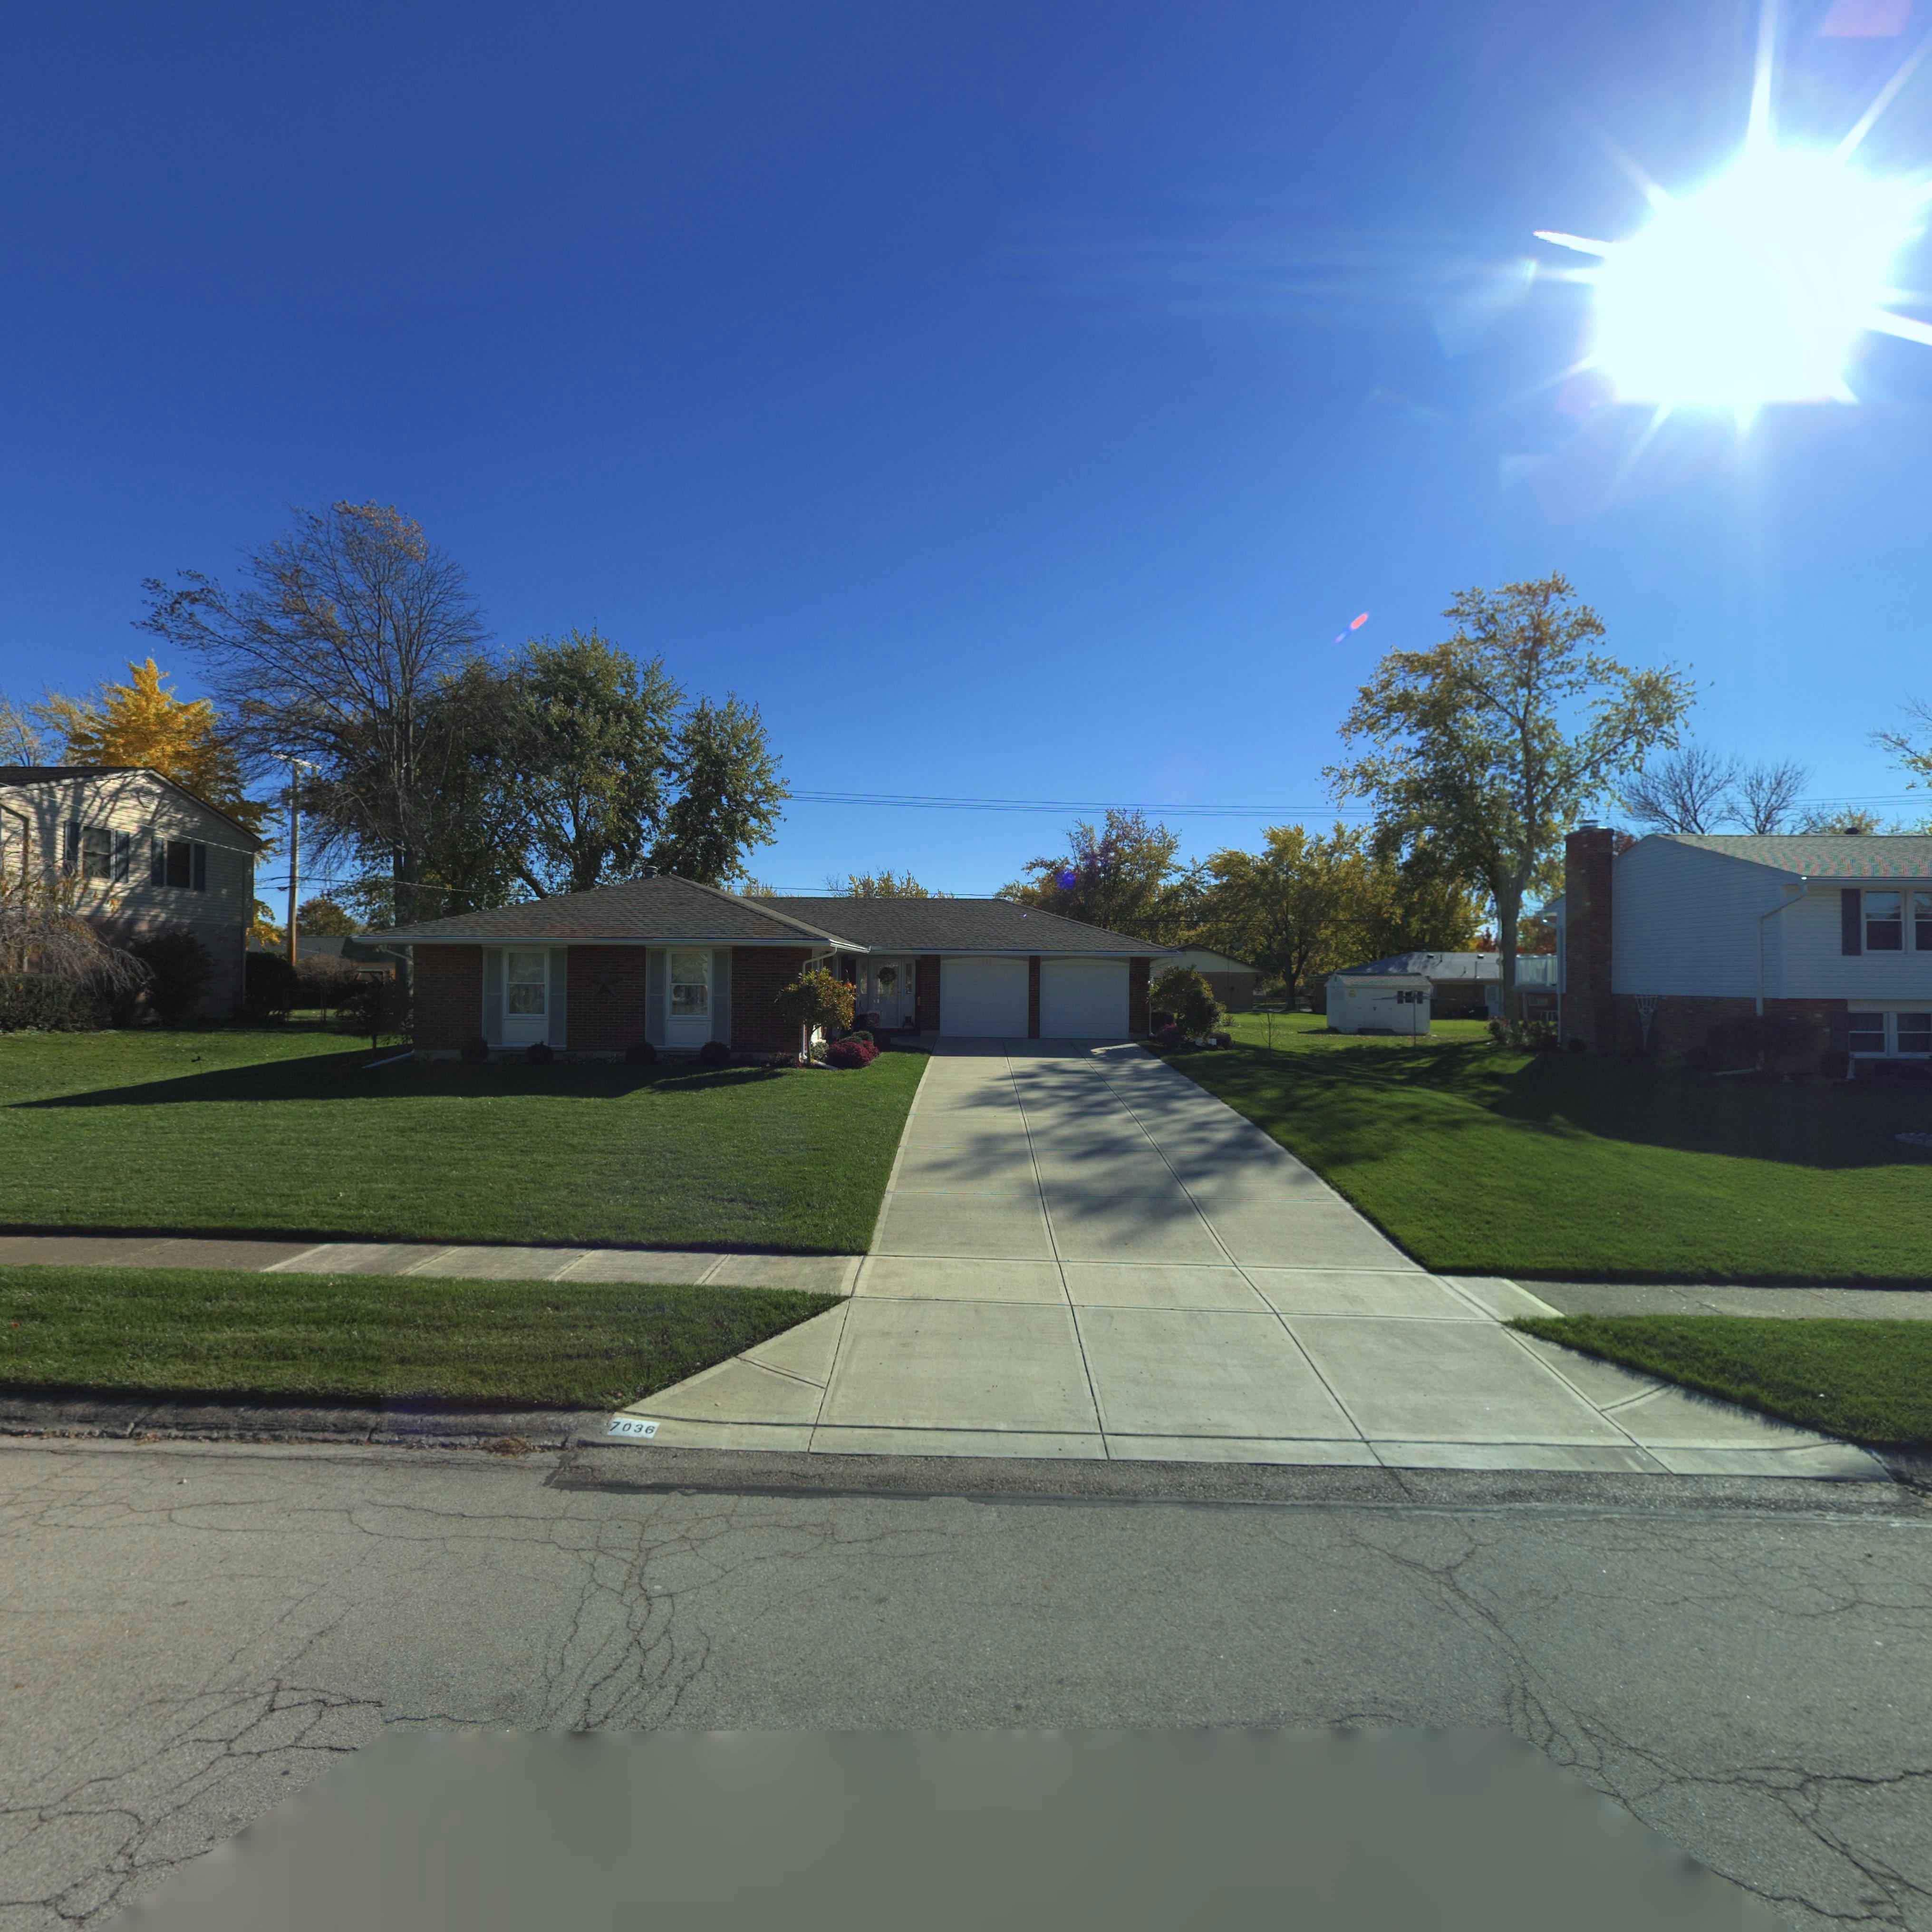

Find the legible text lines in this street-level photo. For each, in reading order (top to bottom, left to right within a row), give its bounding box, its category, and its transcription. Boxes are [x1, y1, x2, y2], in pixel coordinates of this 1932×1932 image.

[976, 958, 993, 966] StreetNumber: *0**
[607, 1419, 657, 1435] StreetNumber: 7036